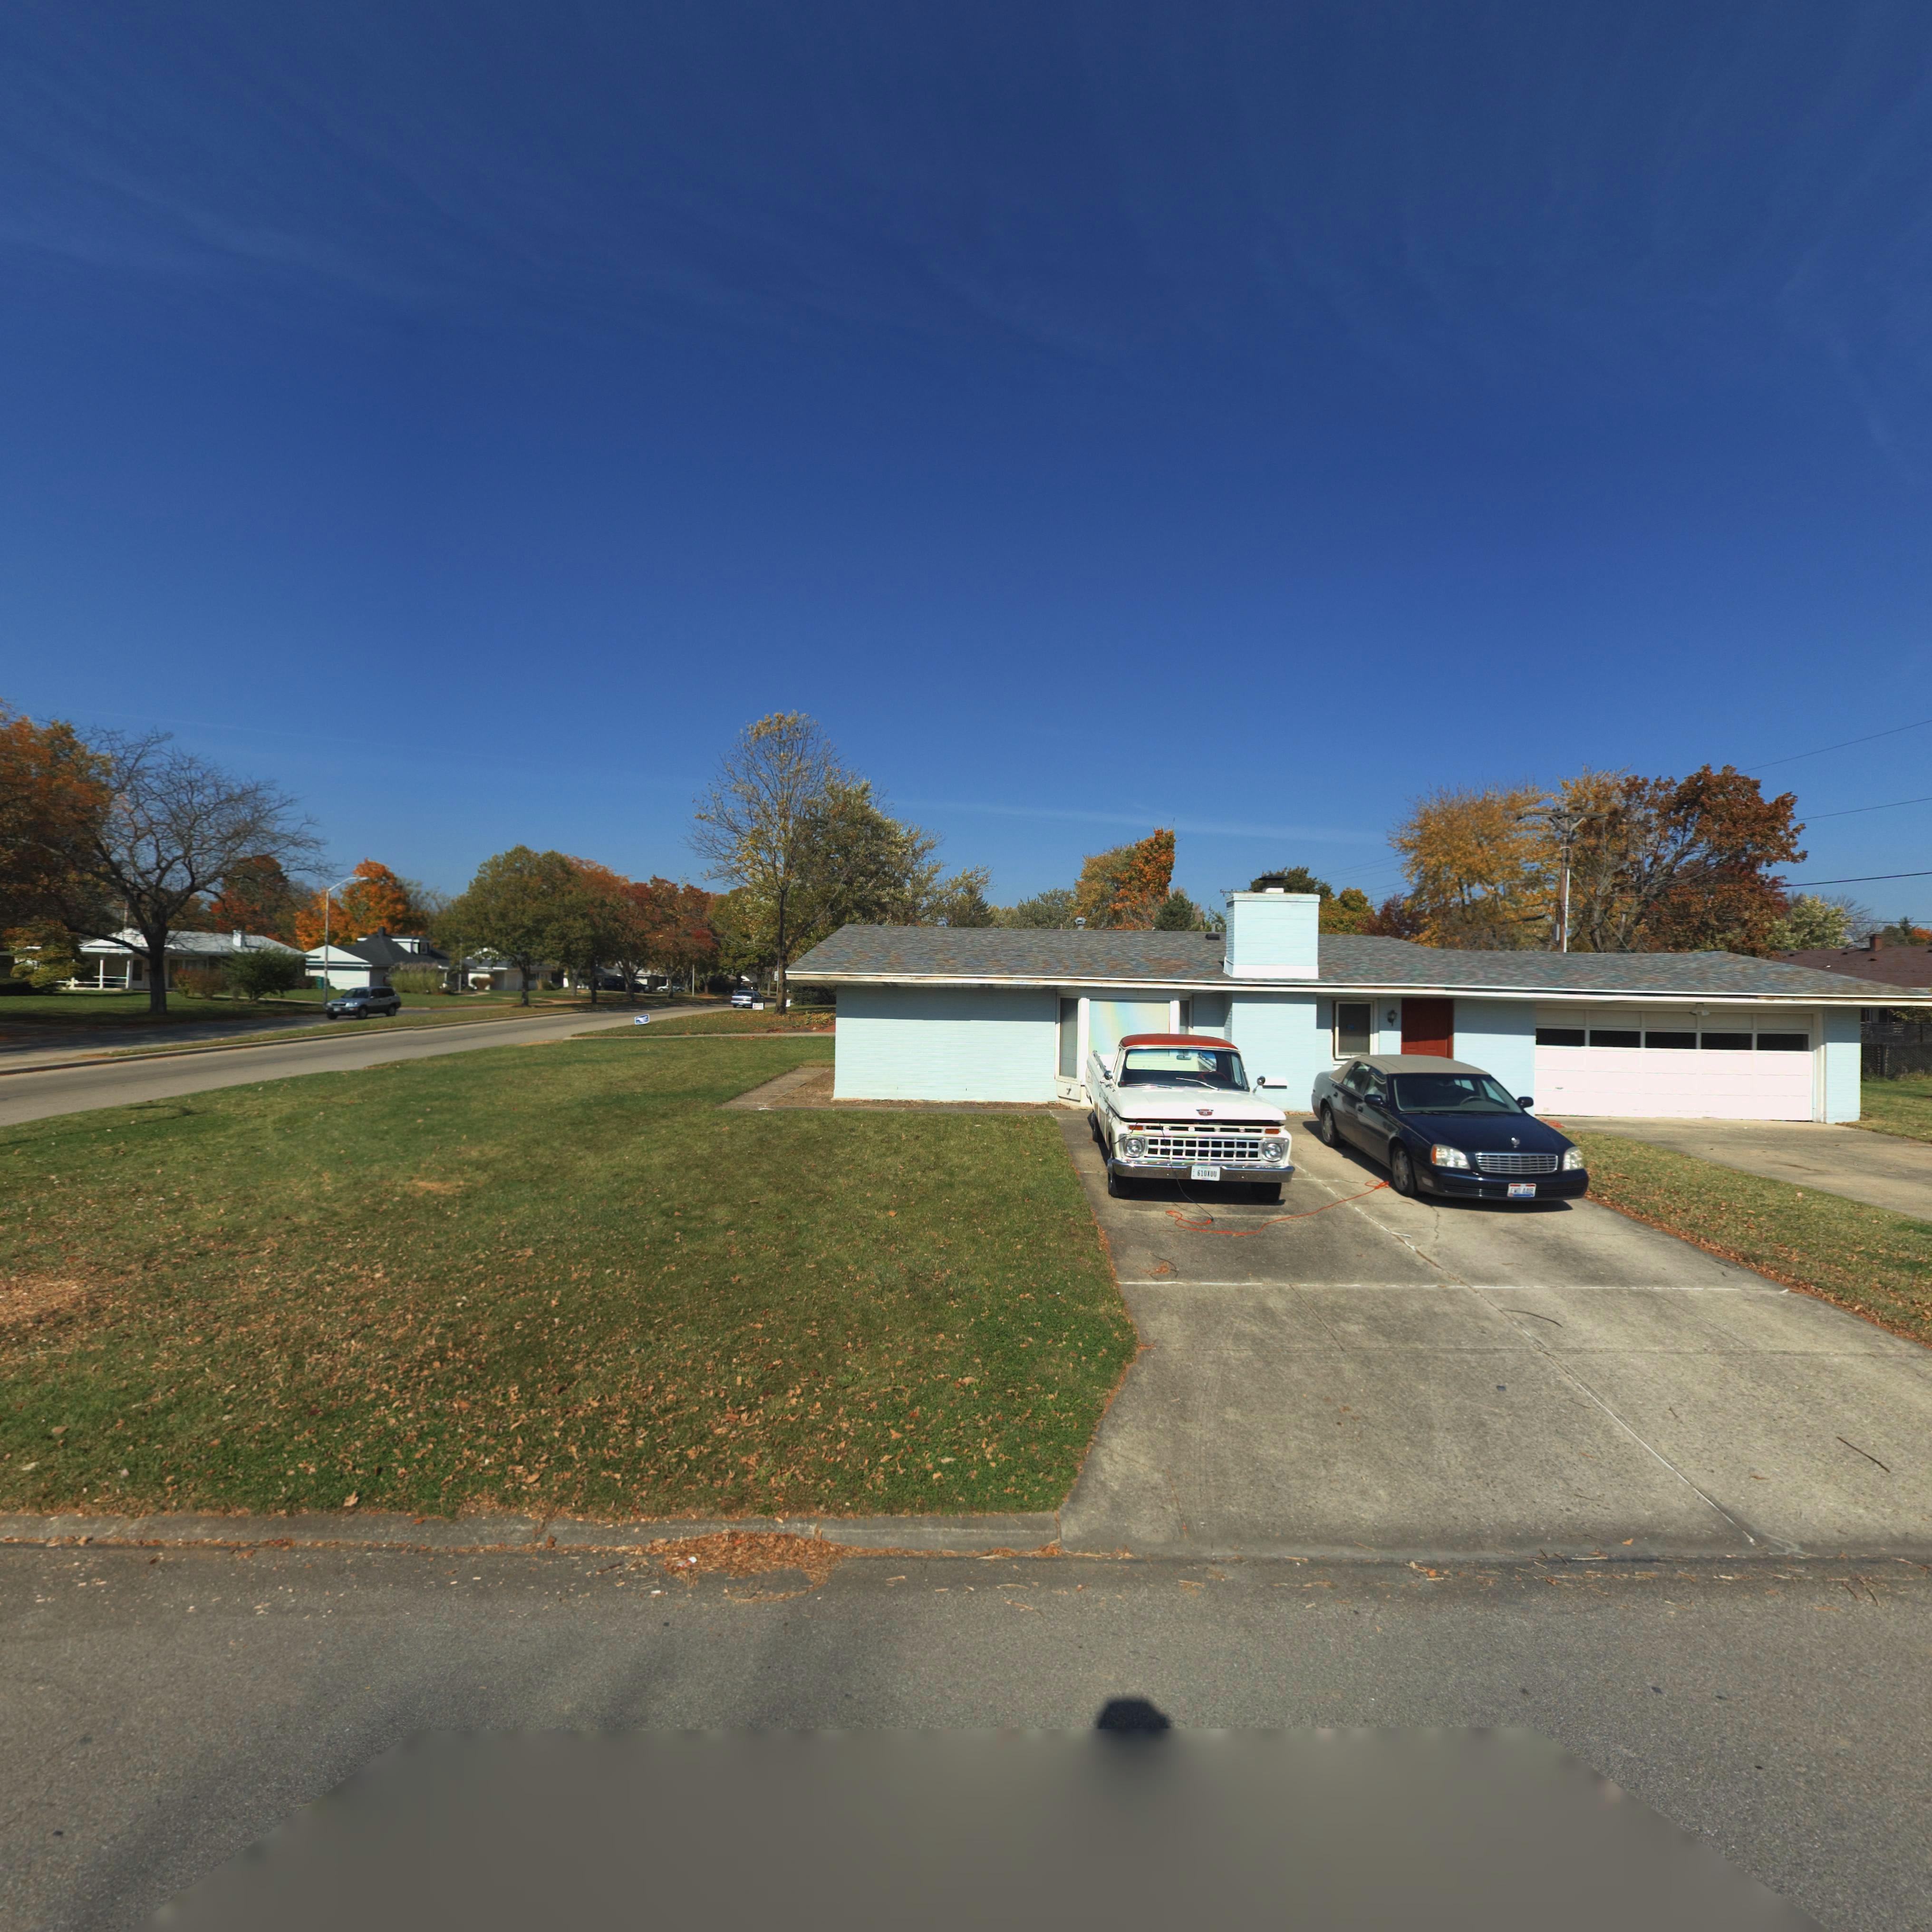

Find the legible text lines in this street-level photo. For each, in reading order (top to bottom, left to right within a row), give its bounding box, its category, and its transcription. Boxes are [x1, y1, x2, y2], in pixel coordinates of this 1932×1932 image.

[1197, 1169, 1218, 1179] None: 610XUU